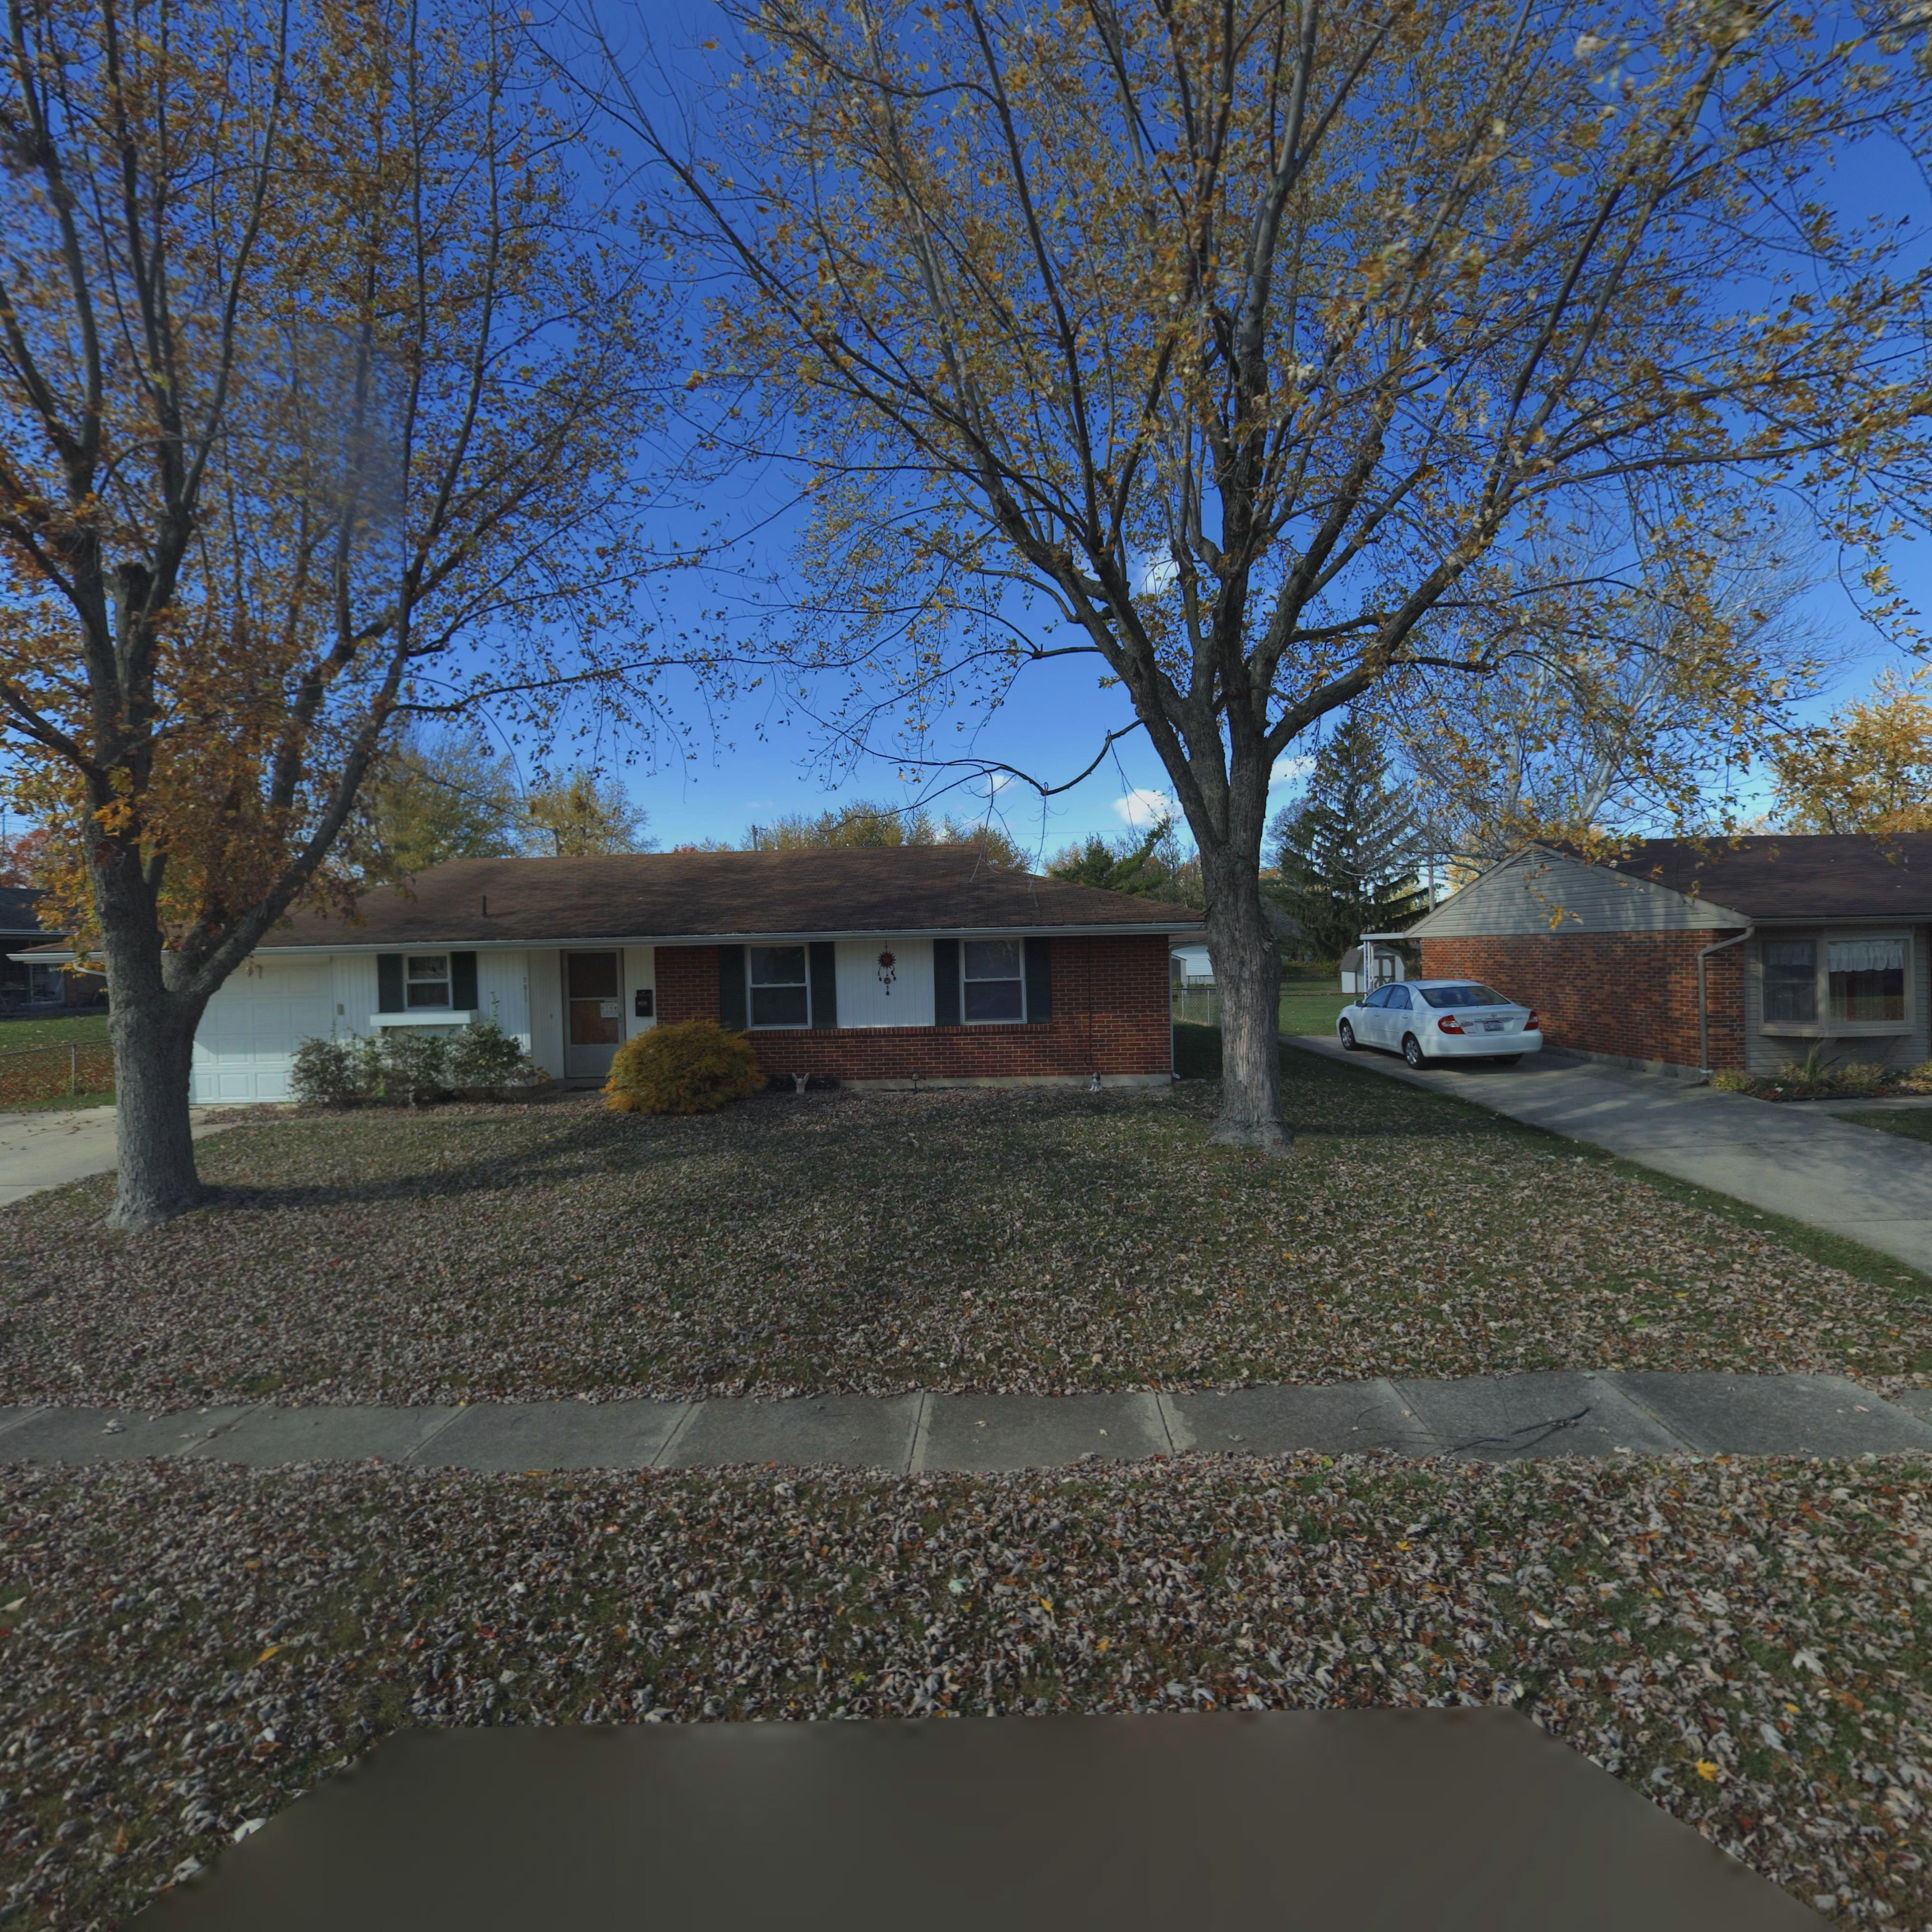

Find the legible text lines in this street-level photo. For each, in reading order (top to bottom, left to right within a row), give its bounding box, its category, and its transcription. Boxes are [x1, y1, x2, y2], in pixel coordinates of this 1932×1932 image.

[521, 976, 529, 1004] StreetNumber: 7511